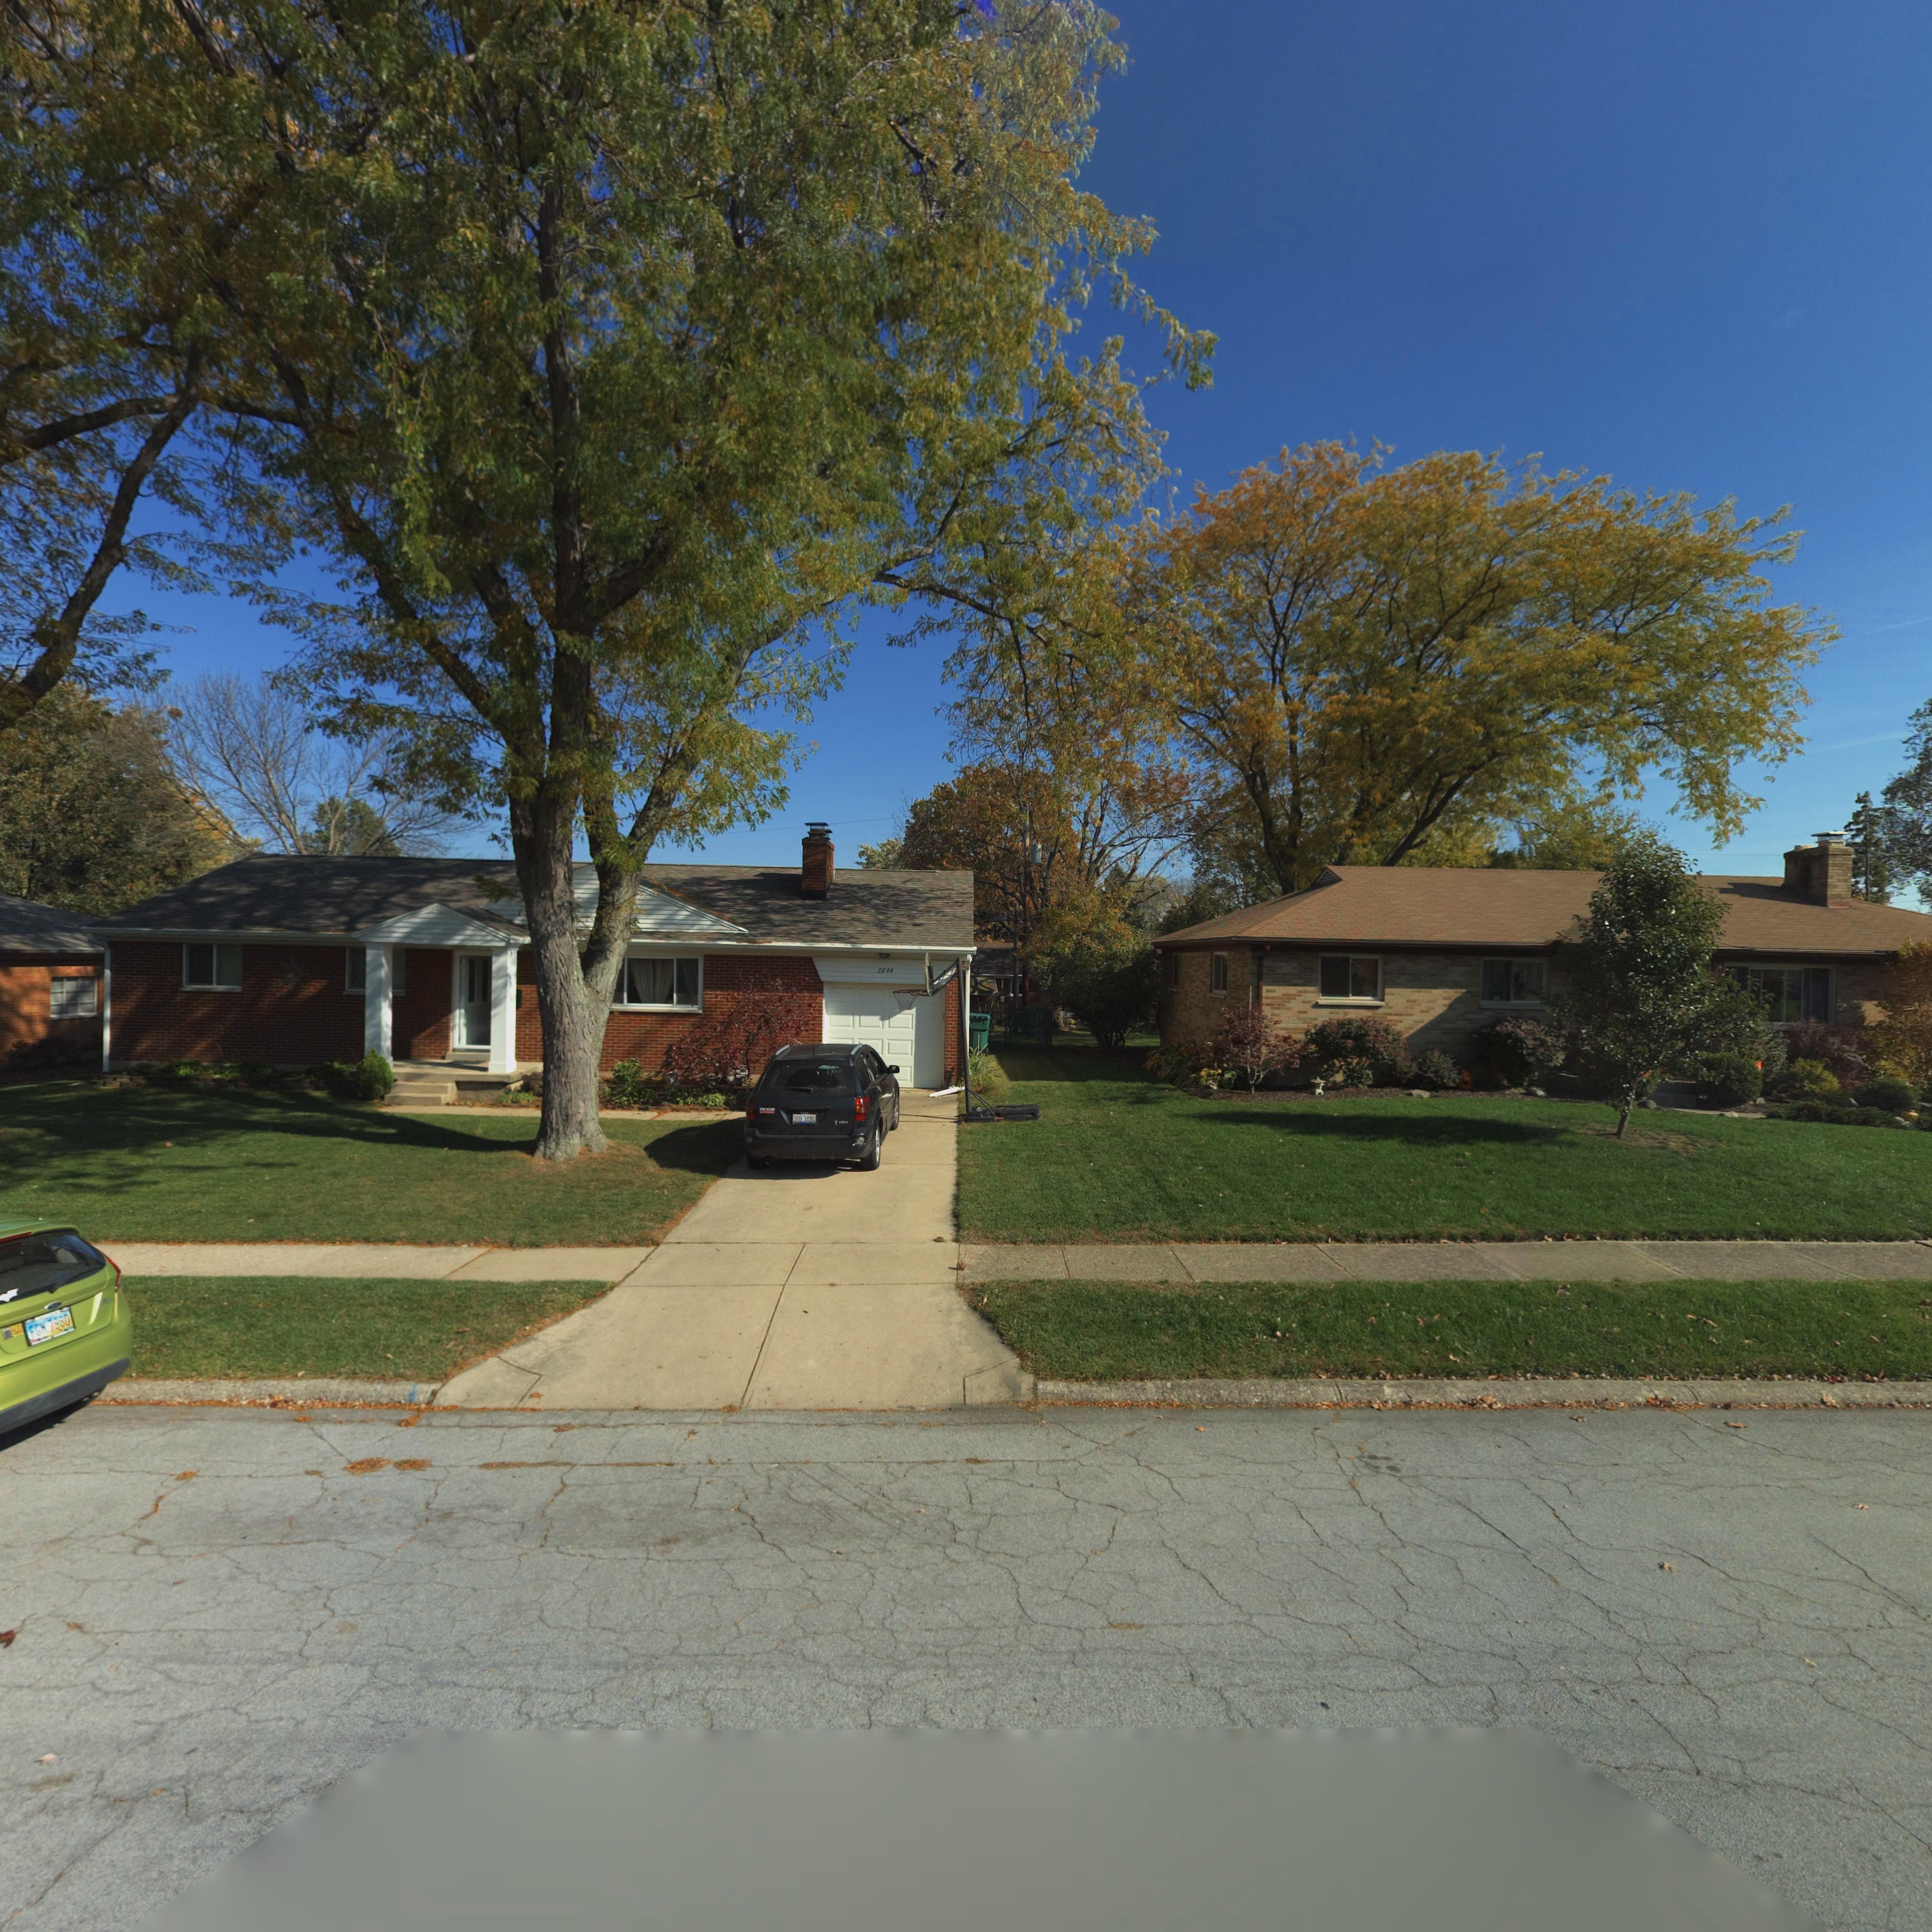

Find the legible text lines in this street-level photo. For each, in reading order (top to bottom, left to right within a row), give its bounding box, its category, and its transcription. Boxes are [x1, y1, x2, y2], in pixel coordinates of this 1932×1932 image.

[876, 967, 895, 973] StreetNumber: 3844
[793, 1115, 815, 1122] None: DOB 3490
[29, 1313, 72, 1339] None: FGK 7980